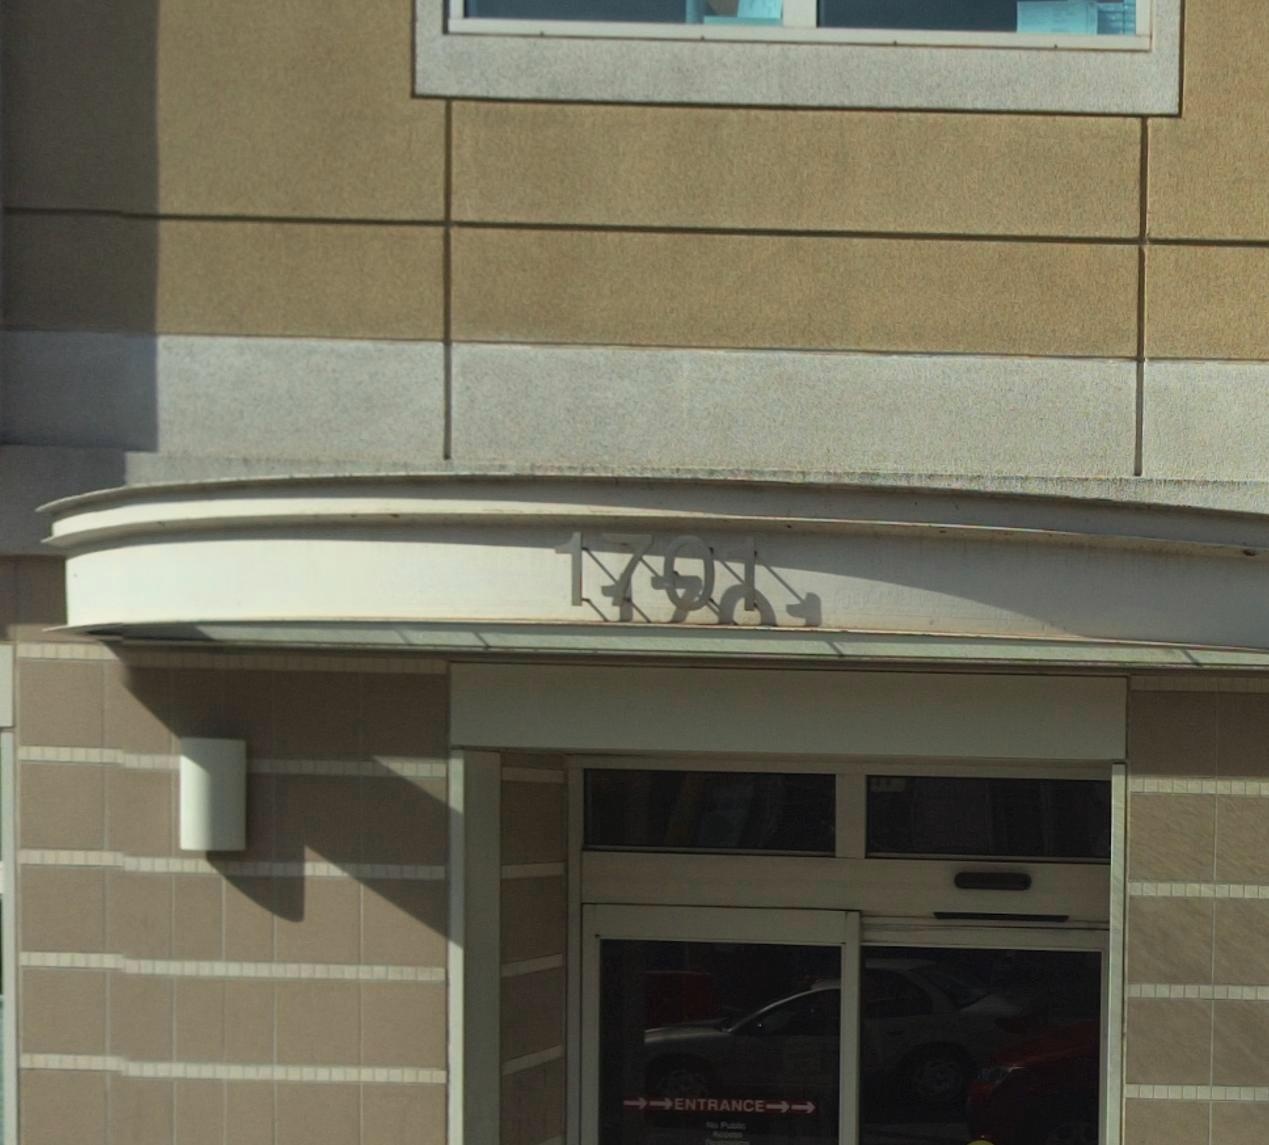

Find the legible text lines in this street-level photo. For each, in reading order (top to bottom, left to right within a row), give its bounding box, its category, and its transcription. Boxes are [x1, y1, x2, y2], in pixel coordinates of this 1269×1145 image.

[551, 527, 760, 610] StreetNumber: 1701
[673, 1095, 766, 1115] None: ENTRANCE